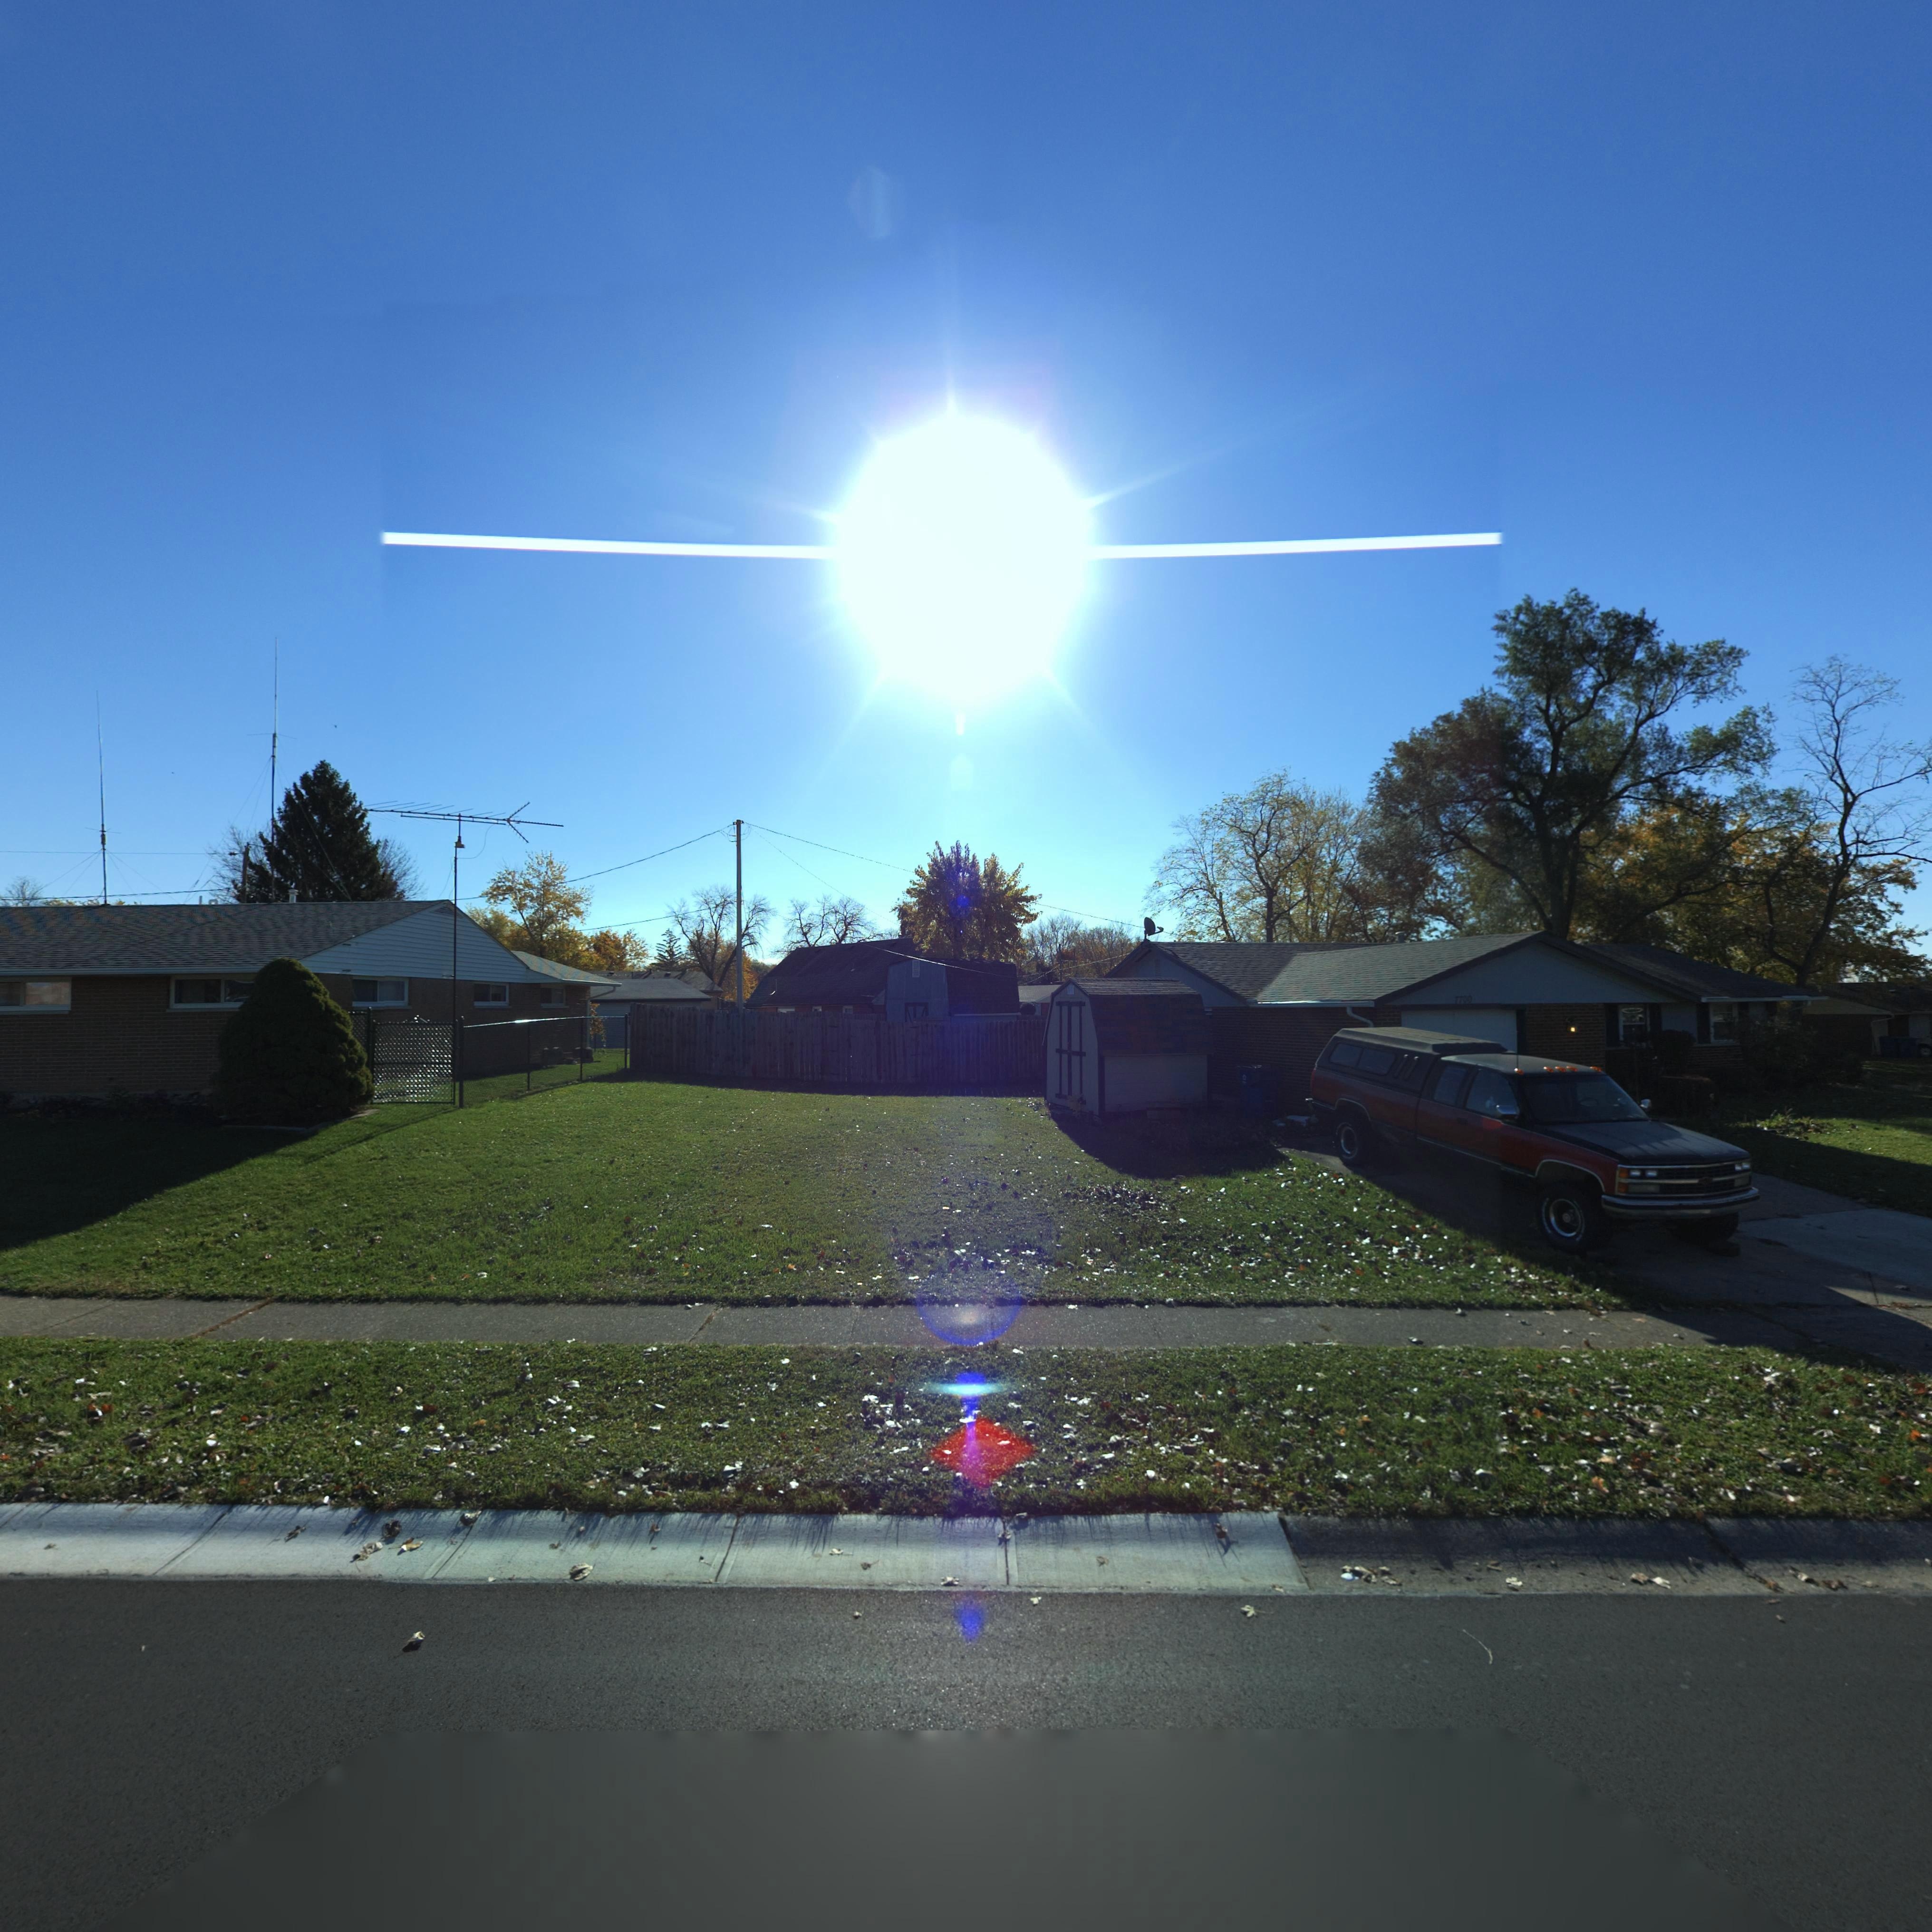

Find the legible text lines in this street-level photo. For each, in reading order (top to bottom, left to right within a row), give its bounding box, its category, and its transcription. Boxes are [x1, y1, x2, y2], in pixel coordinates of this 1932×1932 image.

[1453, 994, 1474, 1005] StreetNumber: 7700